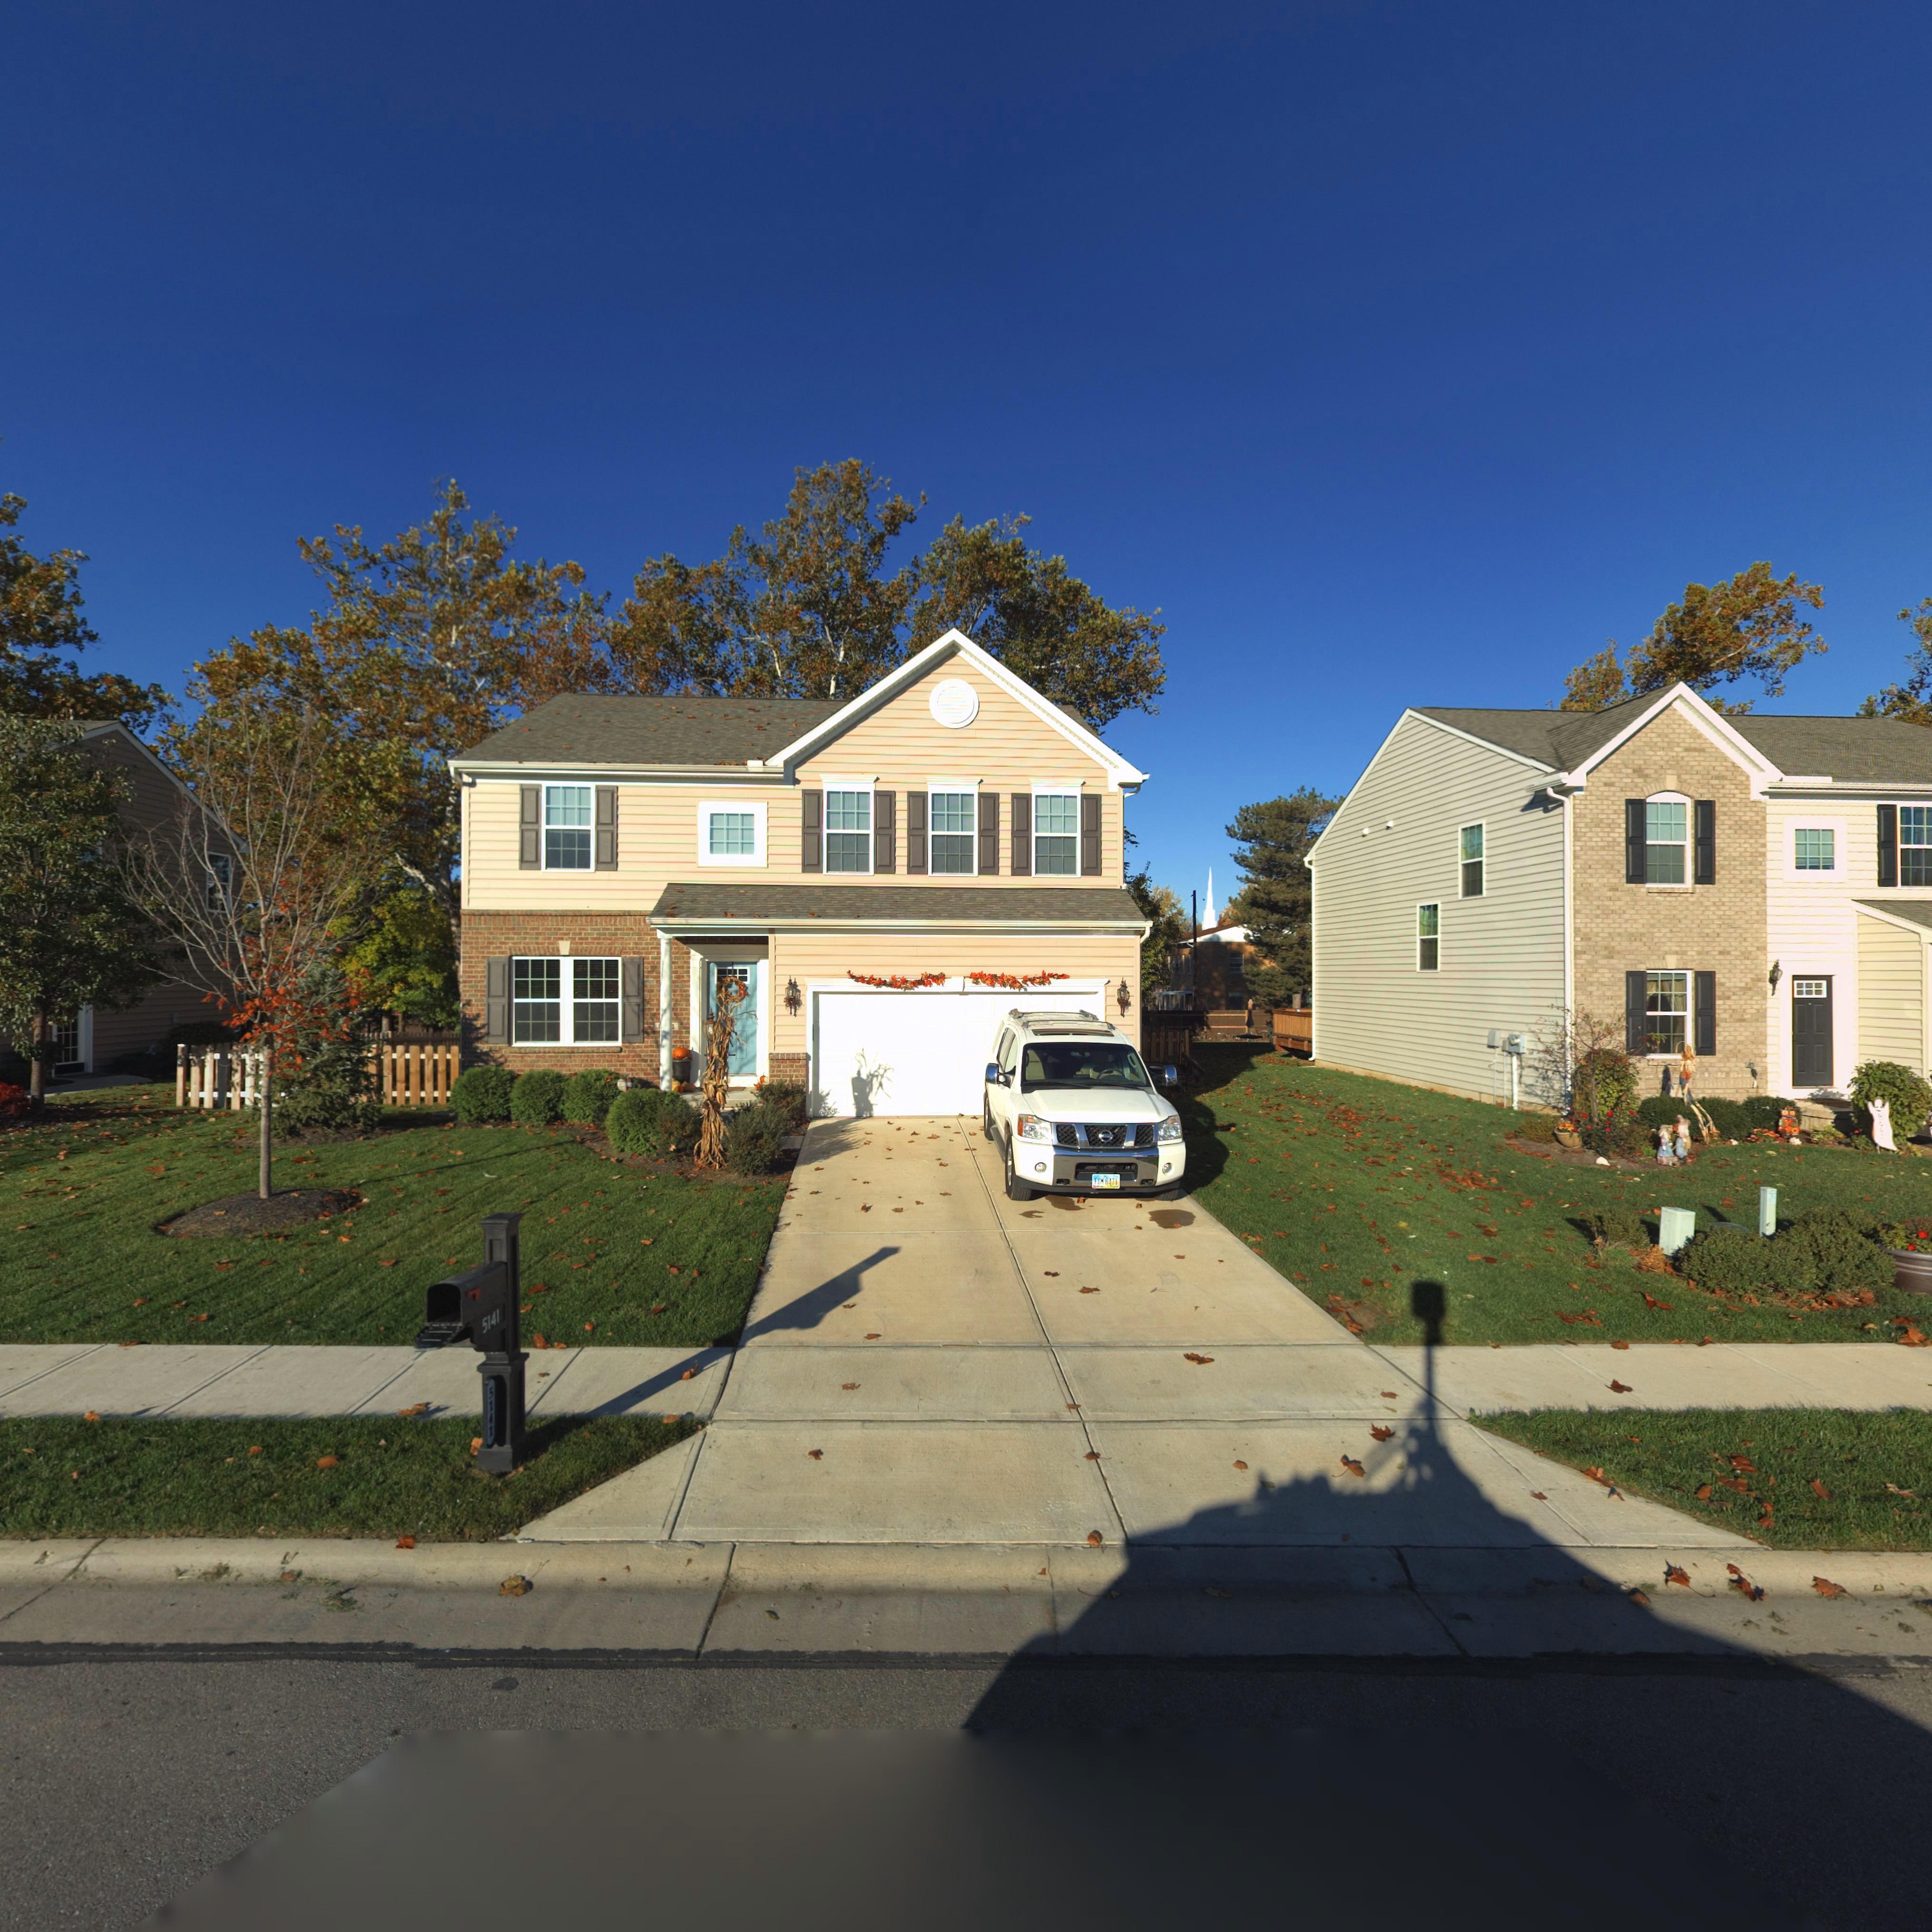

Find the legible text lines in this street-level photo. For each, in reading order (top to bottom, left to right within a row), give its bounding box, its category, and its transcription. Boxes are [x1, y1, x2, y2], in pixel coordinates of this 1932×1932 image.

[481, 1306, 502, 1336] StreetNumber: 5141
[488, 1384, 495, 1439] StreetNumber: 5141